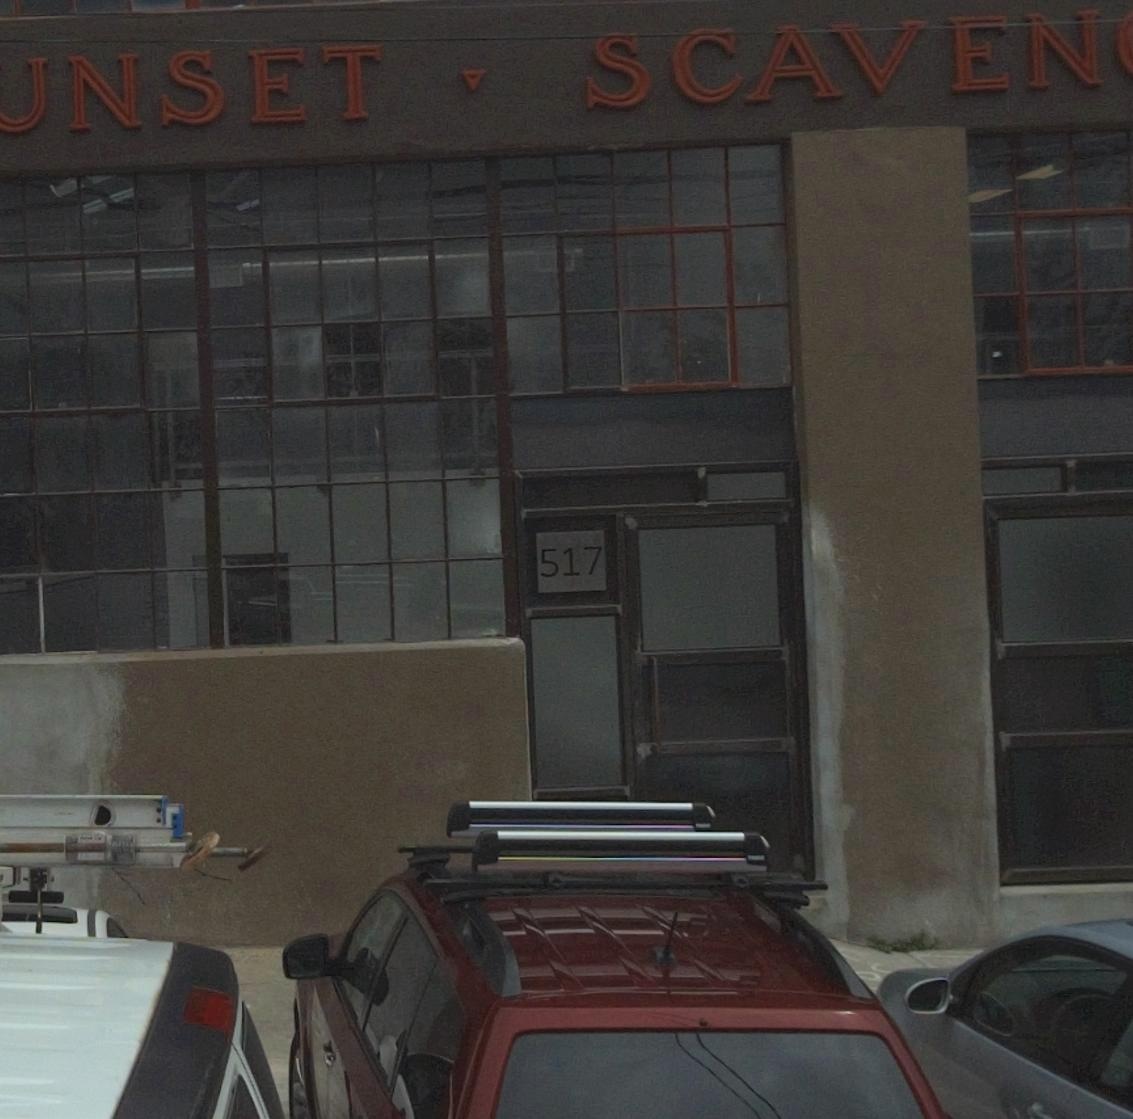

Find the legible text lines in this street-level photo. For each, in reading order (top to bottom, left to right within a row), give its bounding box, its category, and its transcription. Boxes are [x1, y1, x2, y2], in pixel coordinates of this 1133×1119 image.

[64, 5, 1110, 131] BusinessName: NSET * SCAVEN
[539, 545, 607, 579] StreetNumber: 517